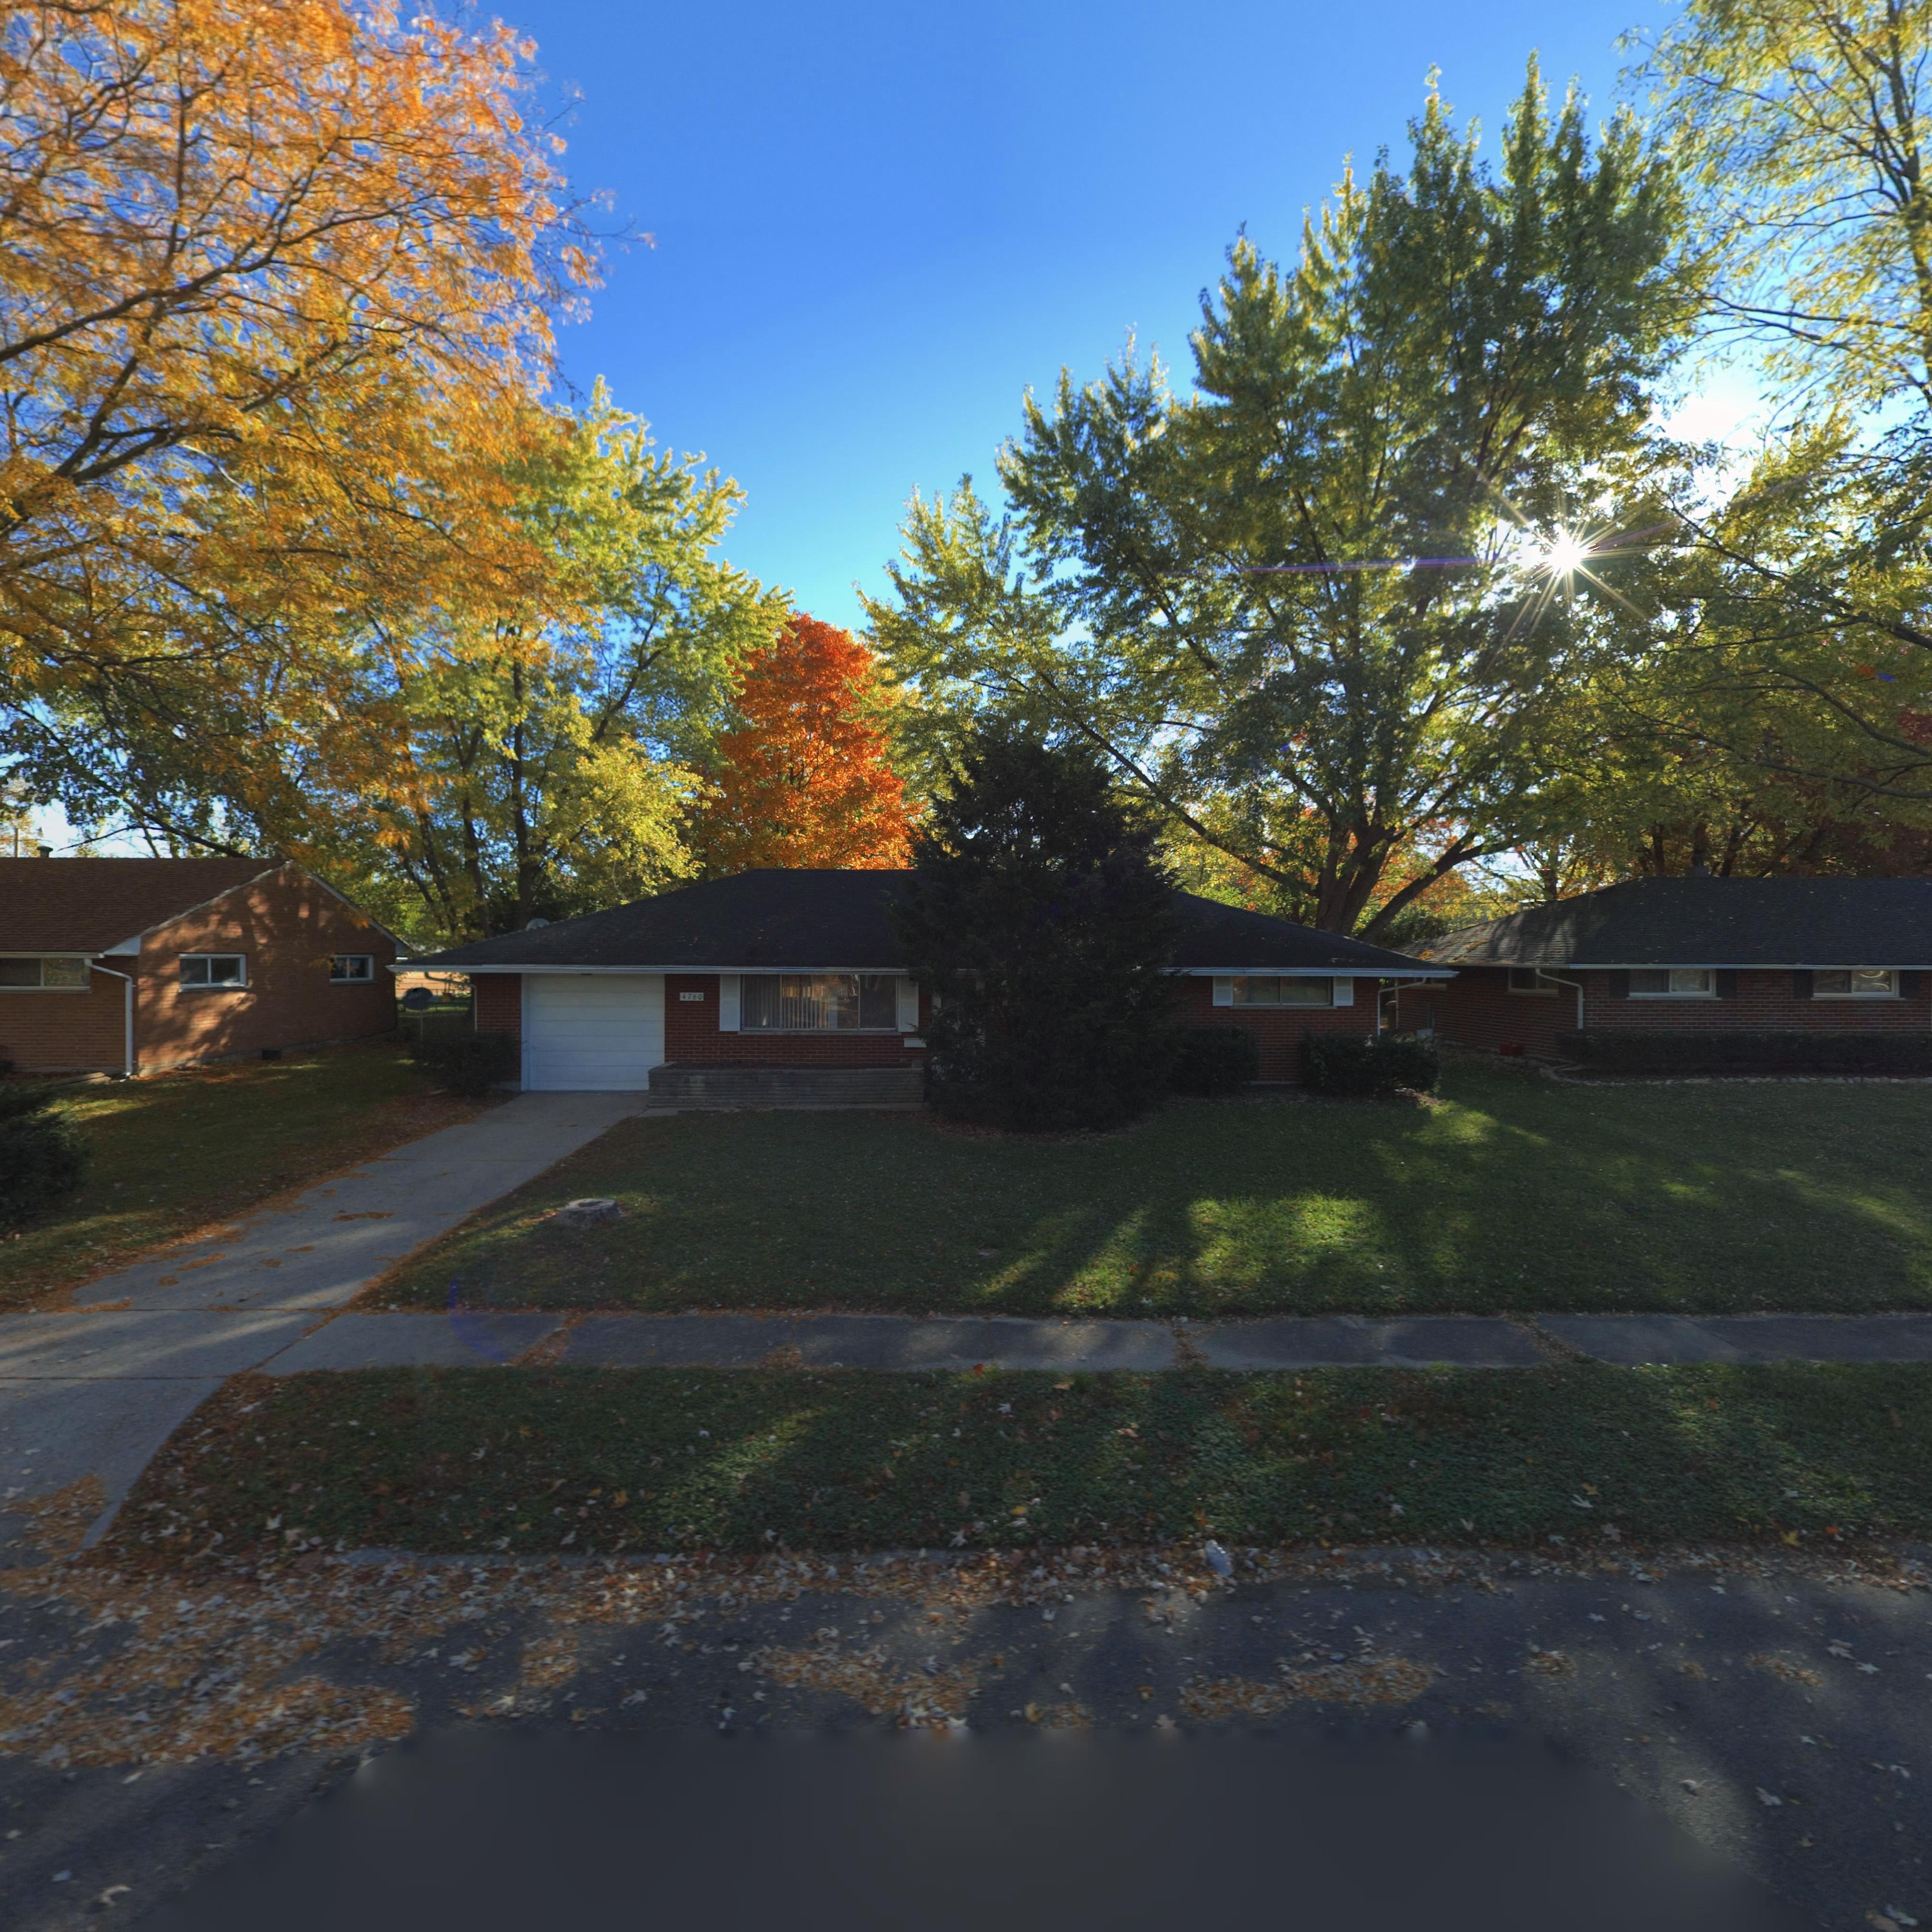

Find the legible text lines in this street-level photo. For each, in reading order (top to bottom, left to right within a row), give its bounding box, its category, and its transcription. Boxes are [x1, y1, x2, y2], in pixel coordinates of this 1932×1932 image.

[682, 993, 703, 1000] StreetNumber: 4760